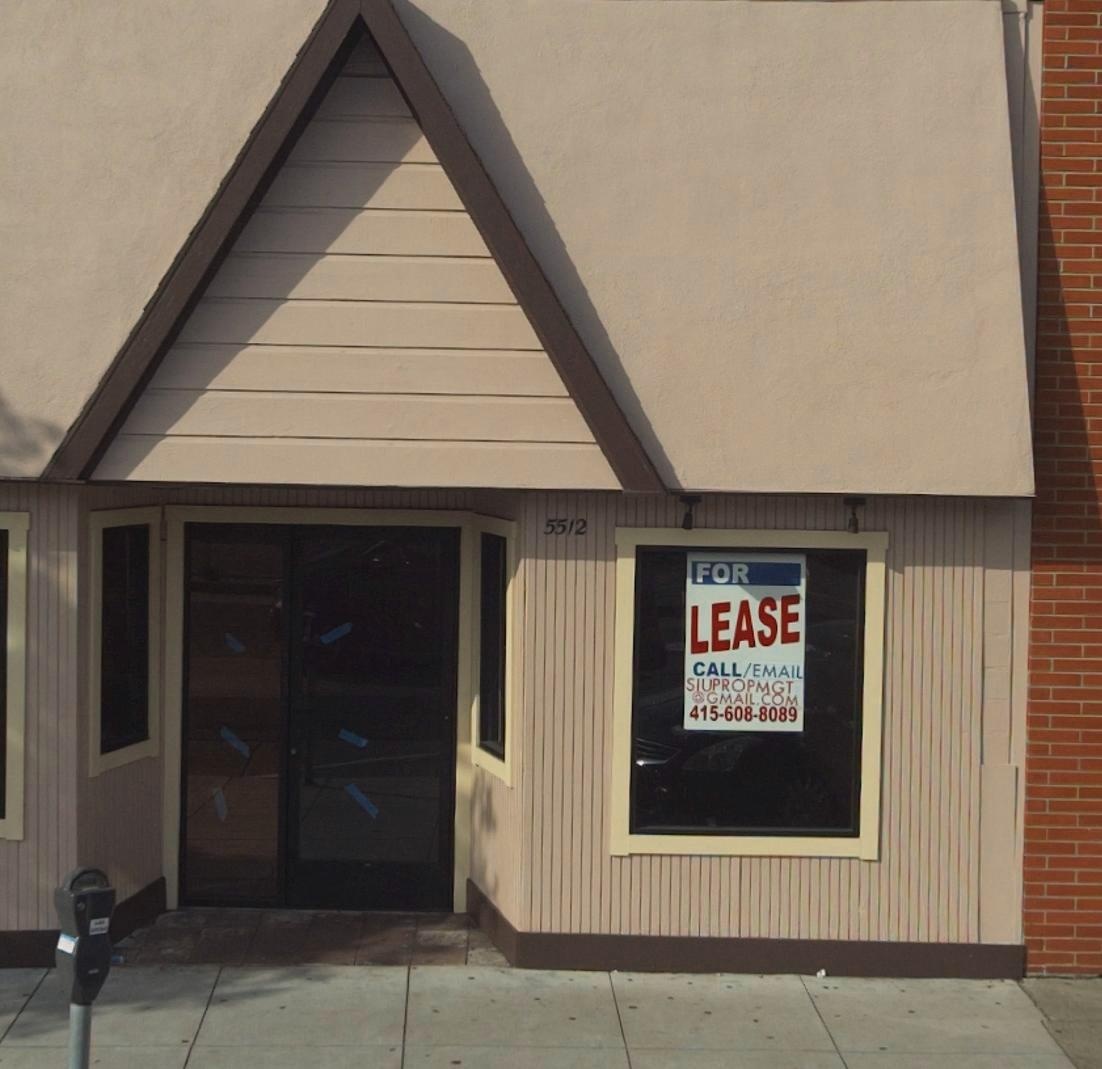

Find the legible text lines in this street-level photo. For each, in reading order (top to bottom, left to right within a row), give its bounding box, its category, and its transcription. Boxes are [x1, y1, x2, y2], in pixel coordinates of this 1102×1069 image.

[541, 517, 589, 536] StreetNumber: 5512
[696, 561, 751, 585] None: FOR
[690, 592, 802, 655] None: LEASE
[692, 659, 804, 680] None: CALL/EMAIL
[685, 675, 796, 694] None: SIUPROMGT
[706, 690, 800, 707] None: GMAIL.COM
[687, 702, 800, 724] None: 415-608-8089